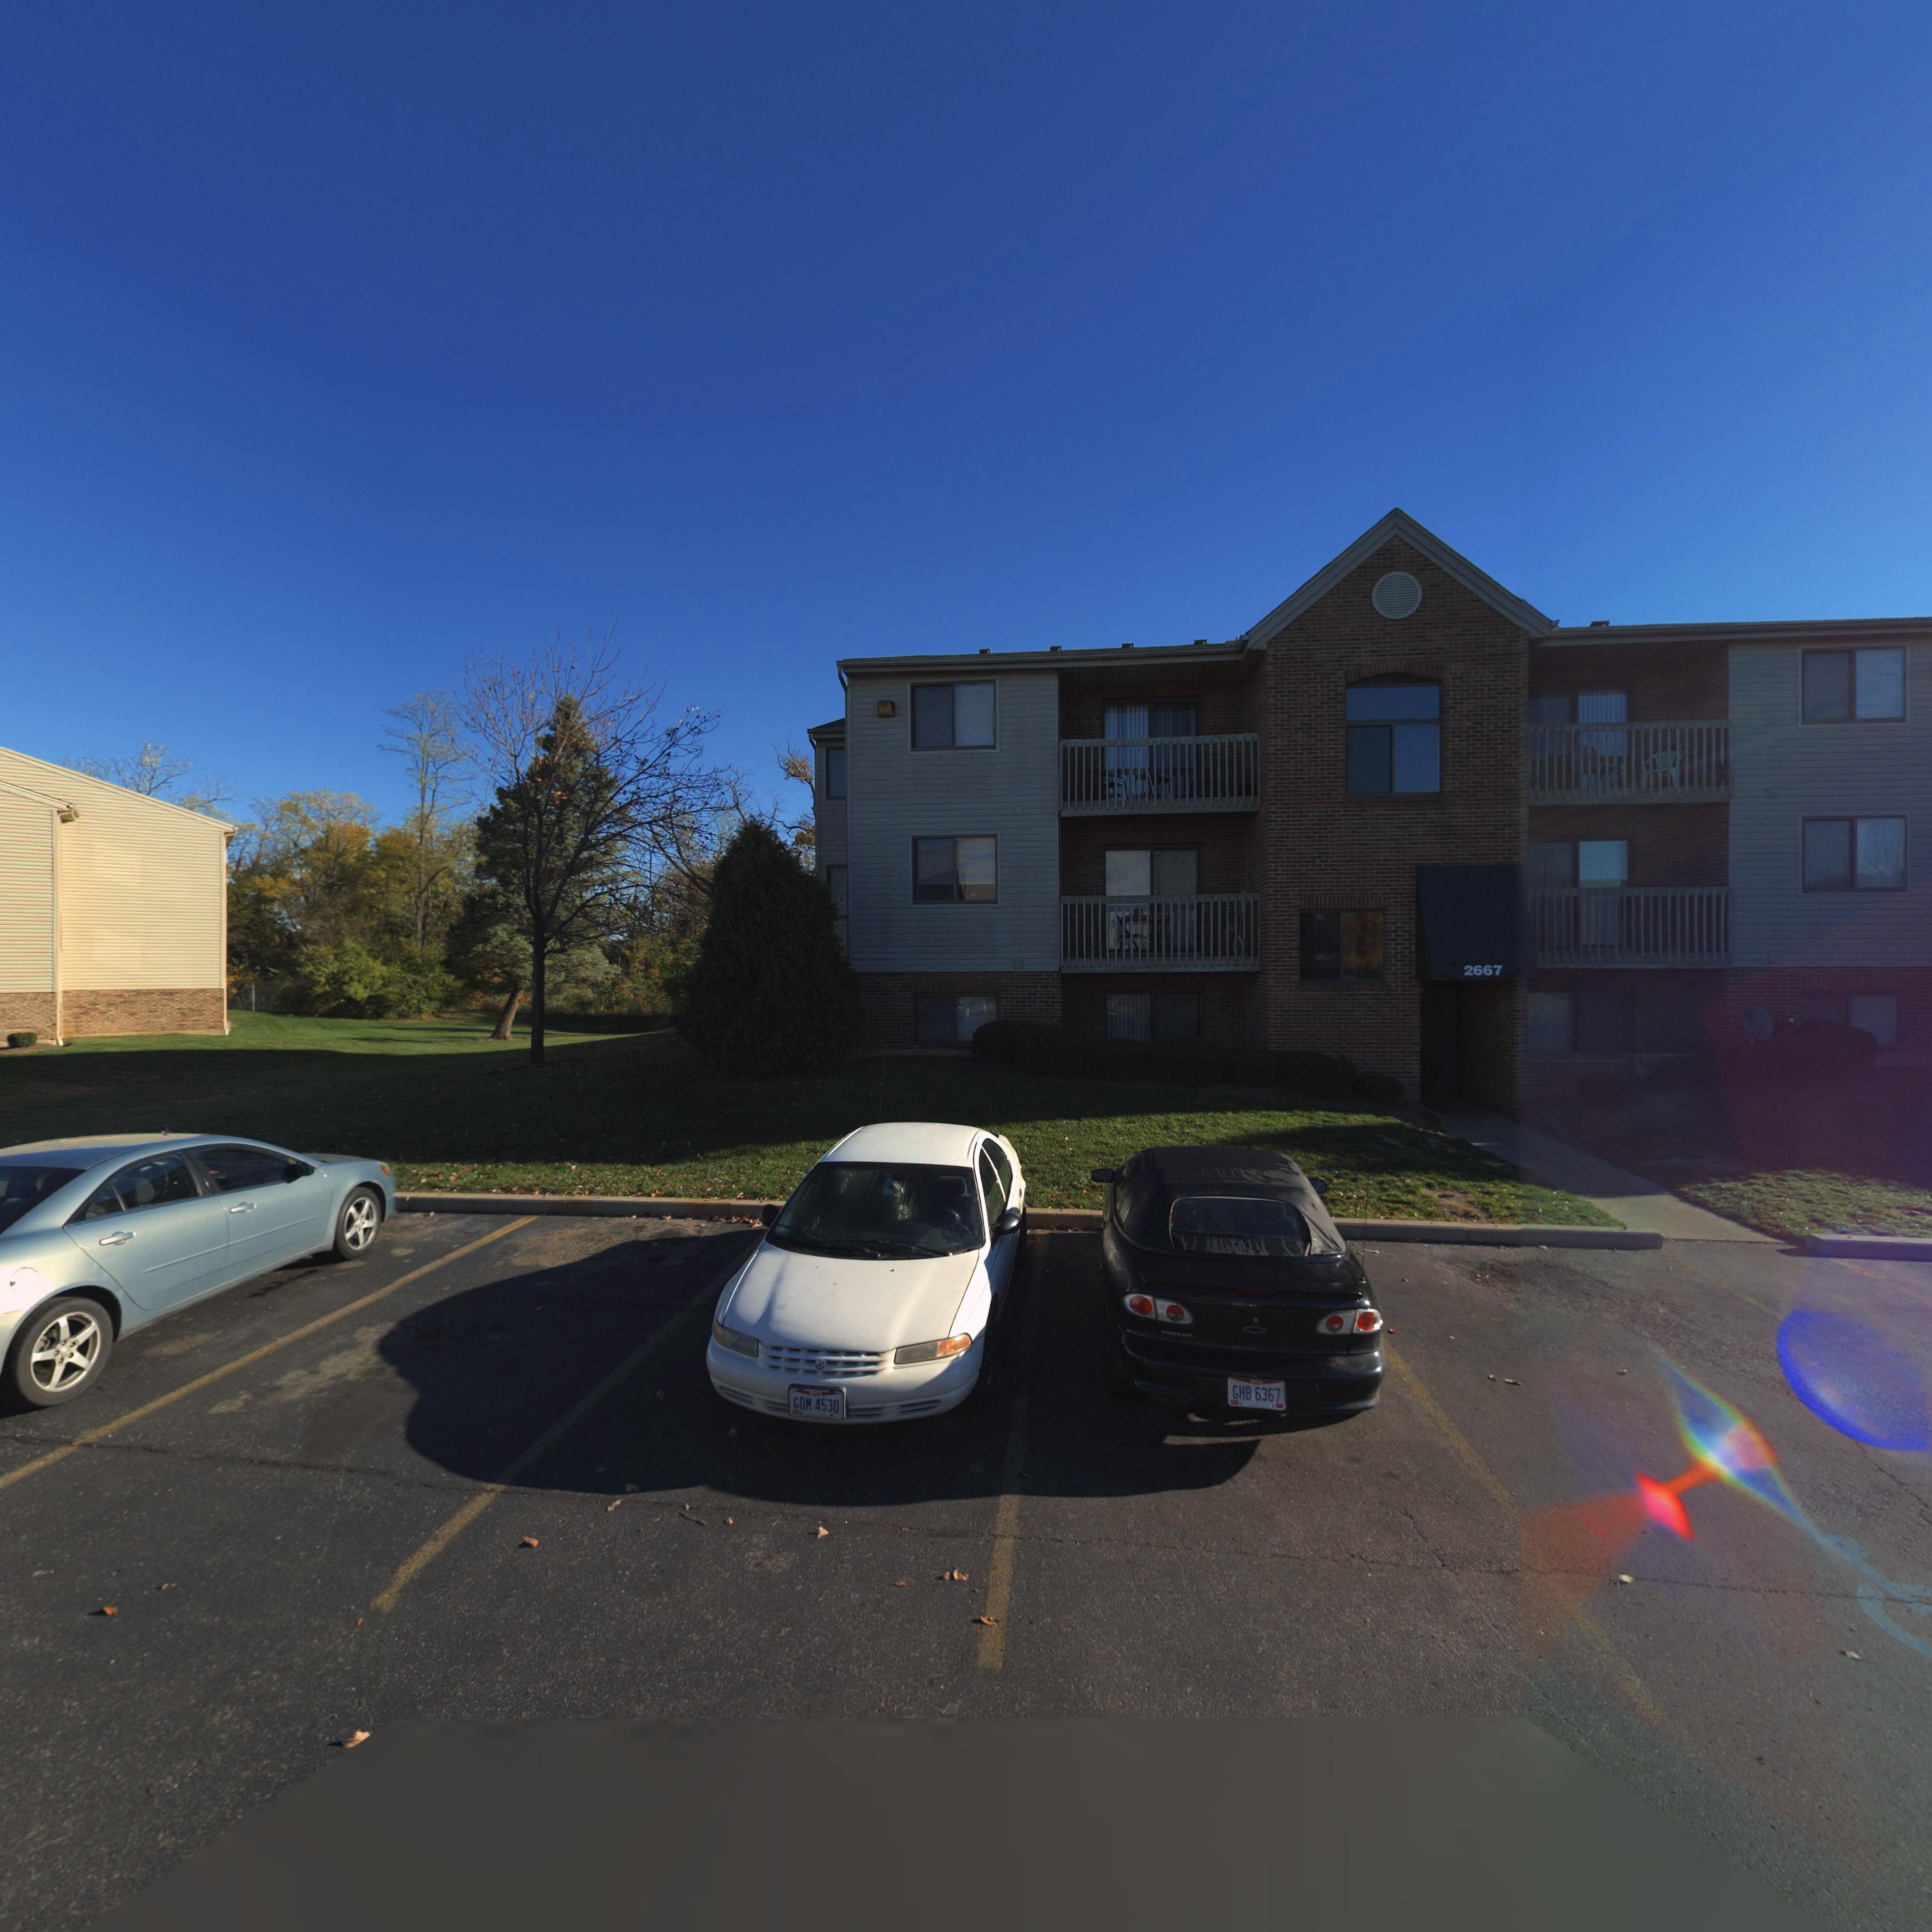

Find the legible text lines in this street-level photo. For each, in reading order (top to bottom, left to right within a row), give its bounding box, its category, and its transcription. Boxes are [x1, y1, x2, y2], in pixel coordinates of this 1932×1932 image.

[1463, 964, 1503, 976] StreetNumber: 2667